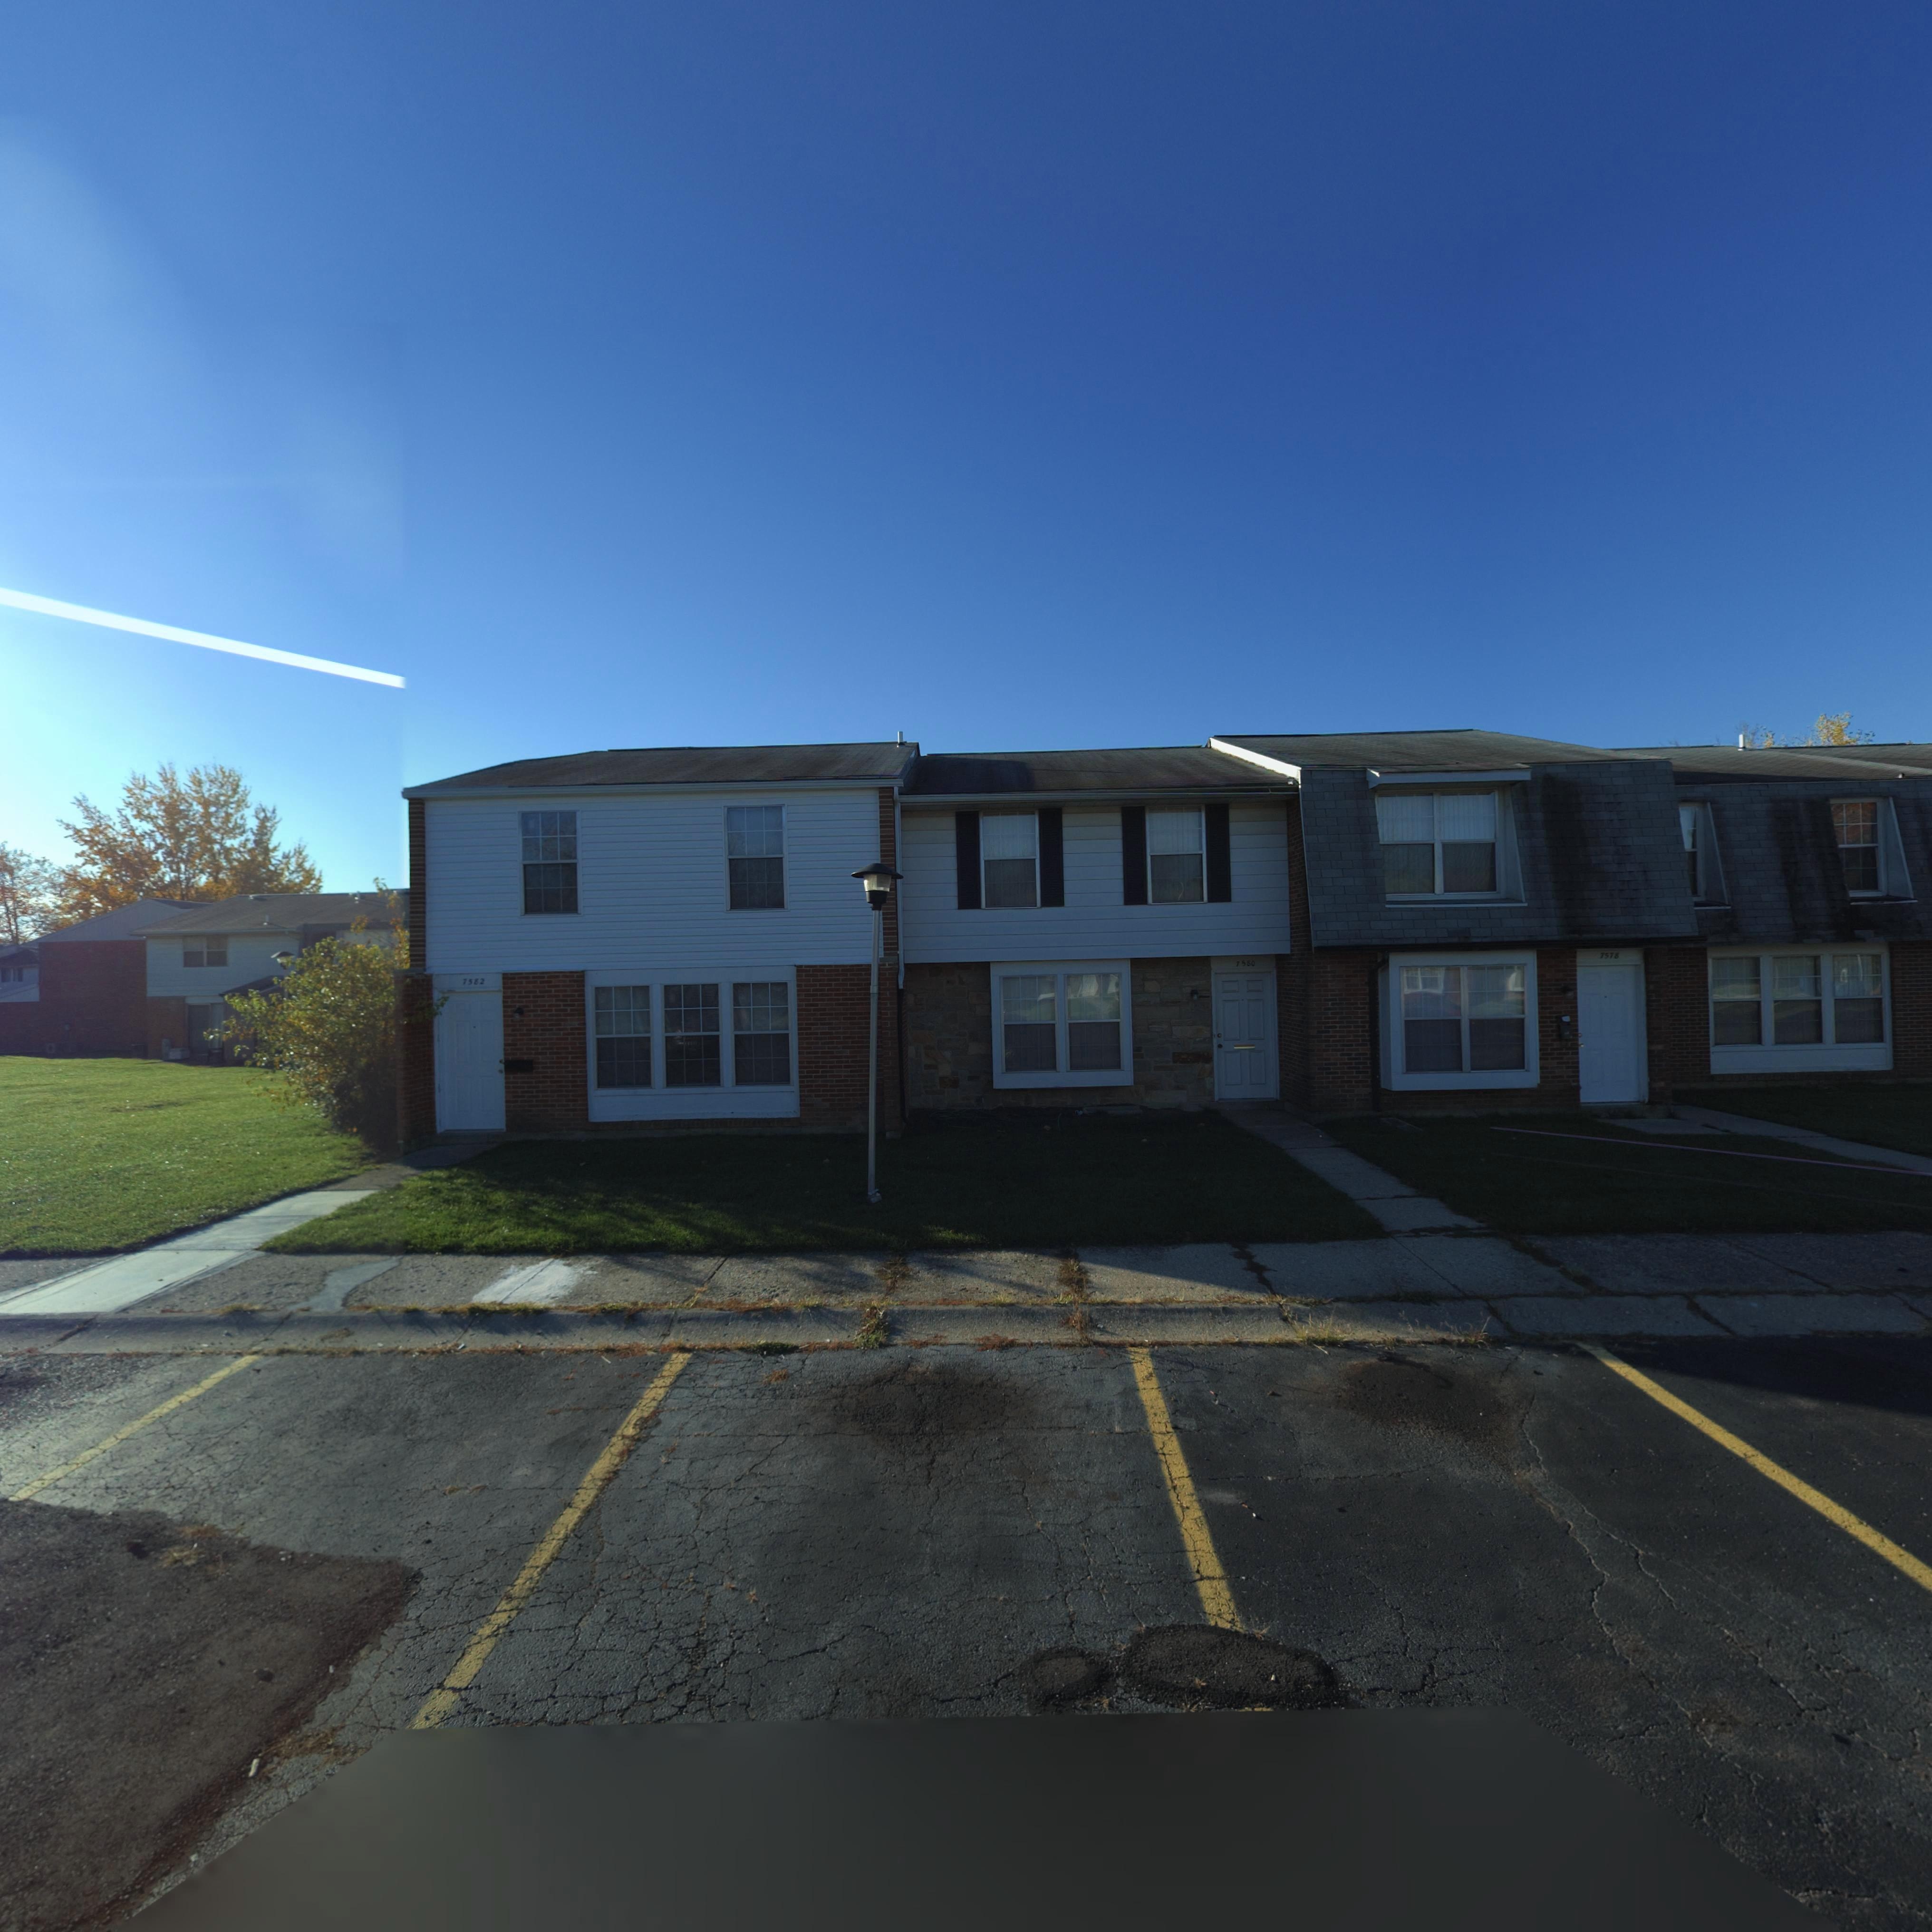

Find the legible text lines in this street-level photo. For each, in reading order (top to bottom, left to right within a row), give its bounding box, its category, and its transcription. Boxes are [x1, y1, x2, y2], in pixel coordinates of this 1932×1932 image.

[1599, 951, 1621, 960] StreetNumber: 7578
[1235, 959, 1256, 968] StreetNumber: 7580
[462, 977, 486, 986] StreetNumber: 7582